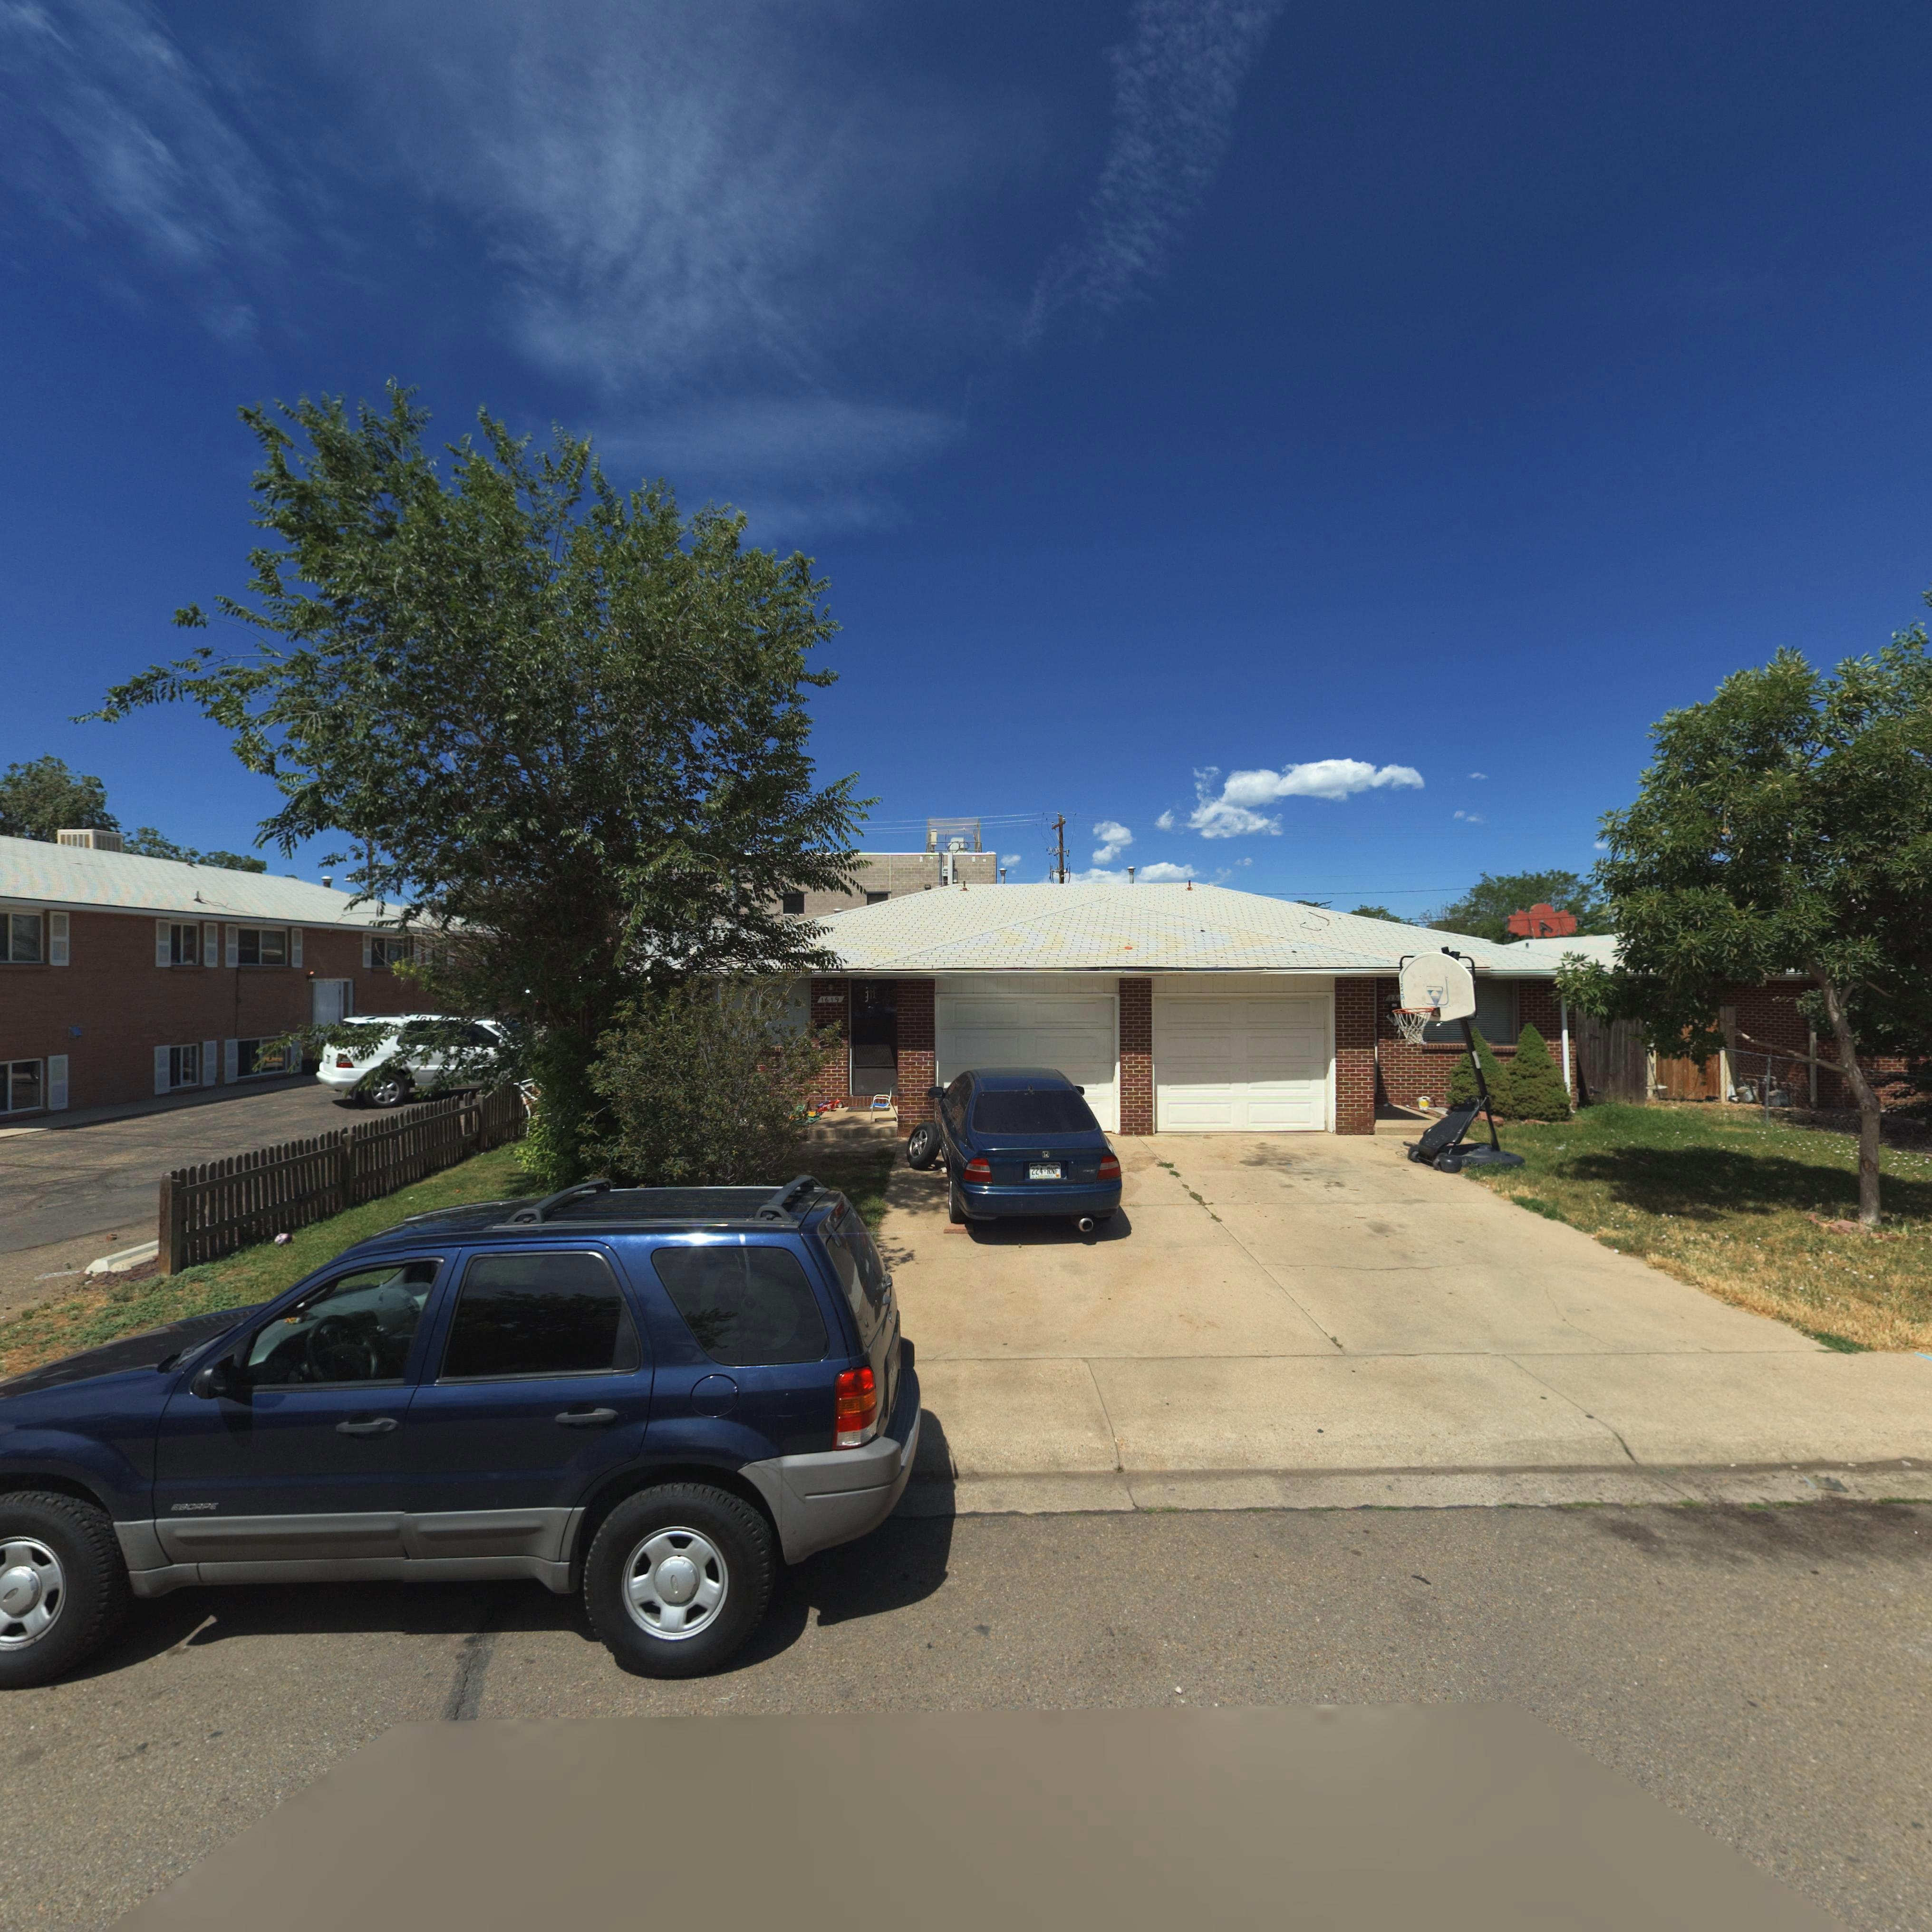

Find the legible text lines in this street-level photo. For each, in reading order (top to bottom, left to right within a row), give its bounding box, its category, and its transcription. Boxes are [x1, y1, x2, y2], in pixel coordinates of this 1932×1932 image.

[821, 996, 839, 1003] StreetNumber: 1619
[1389, 994, 1399, 1001] StreetNumber: 16